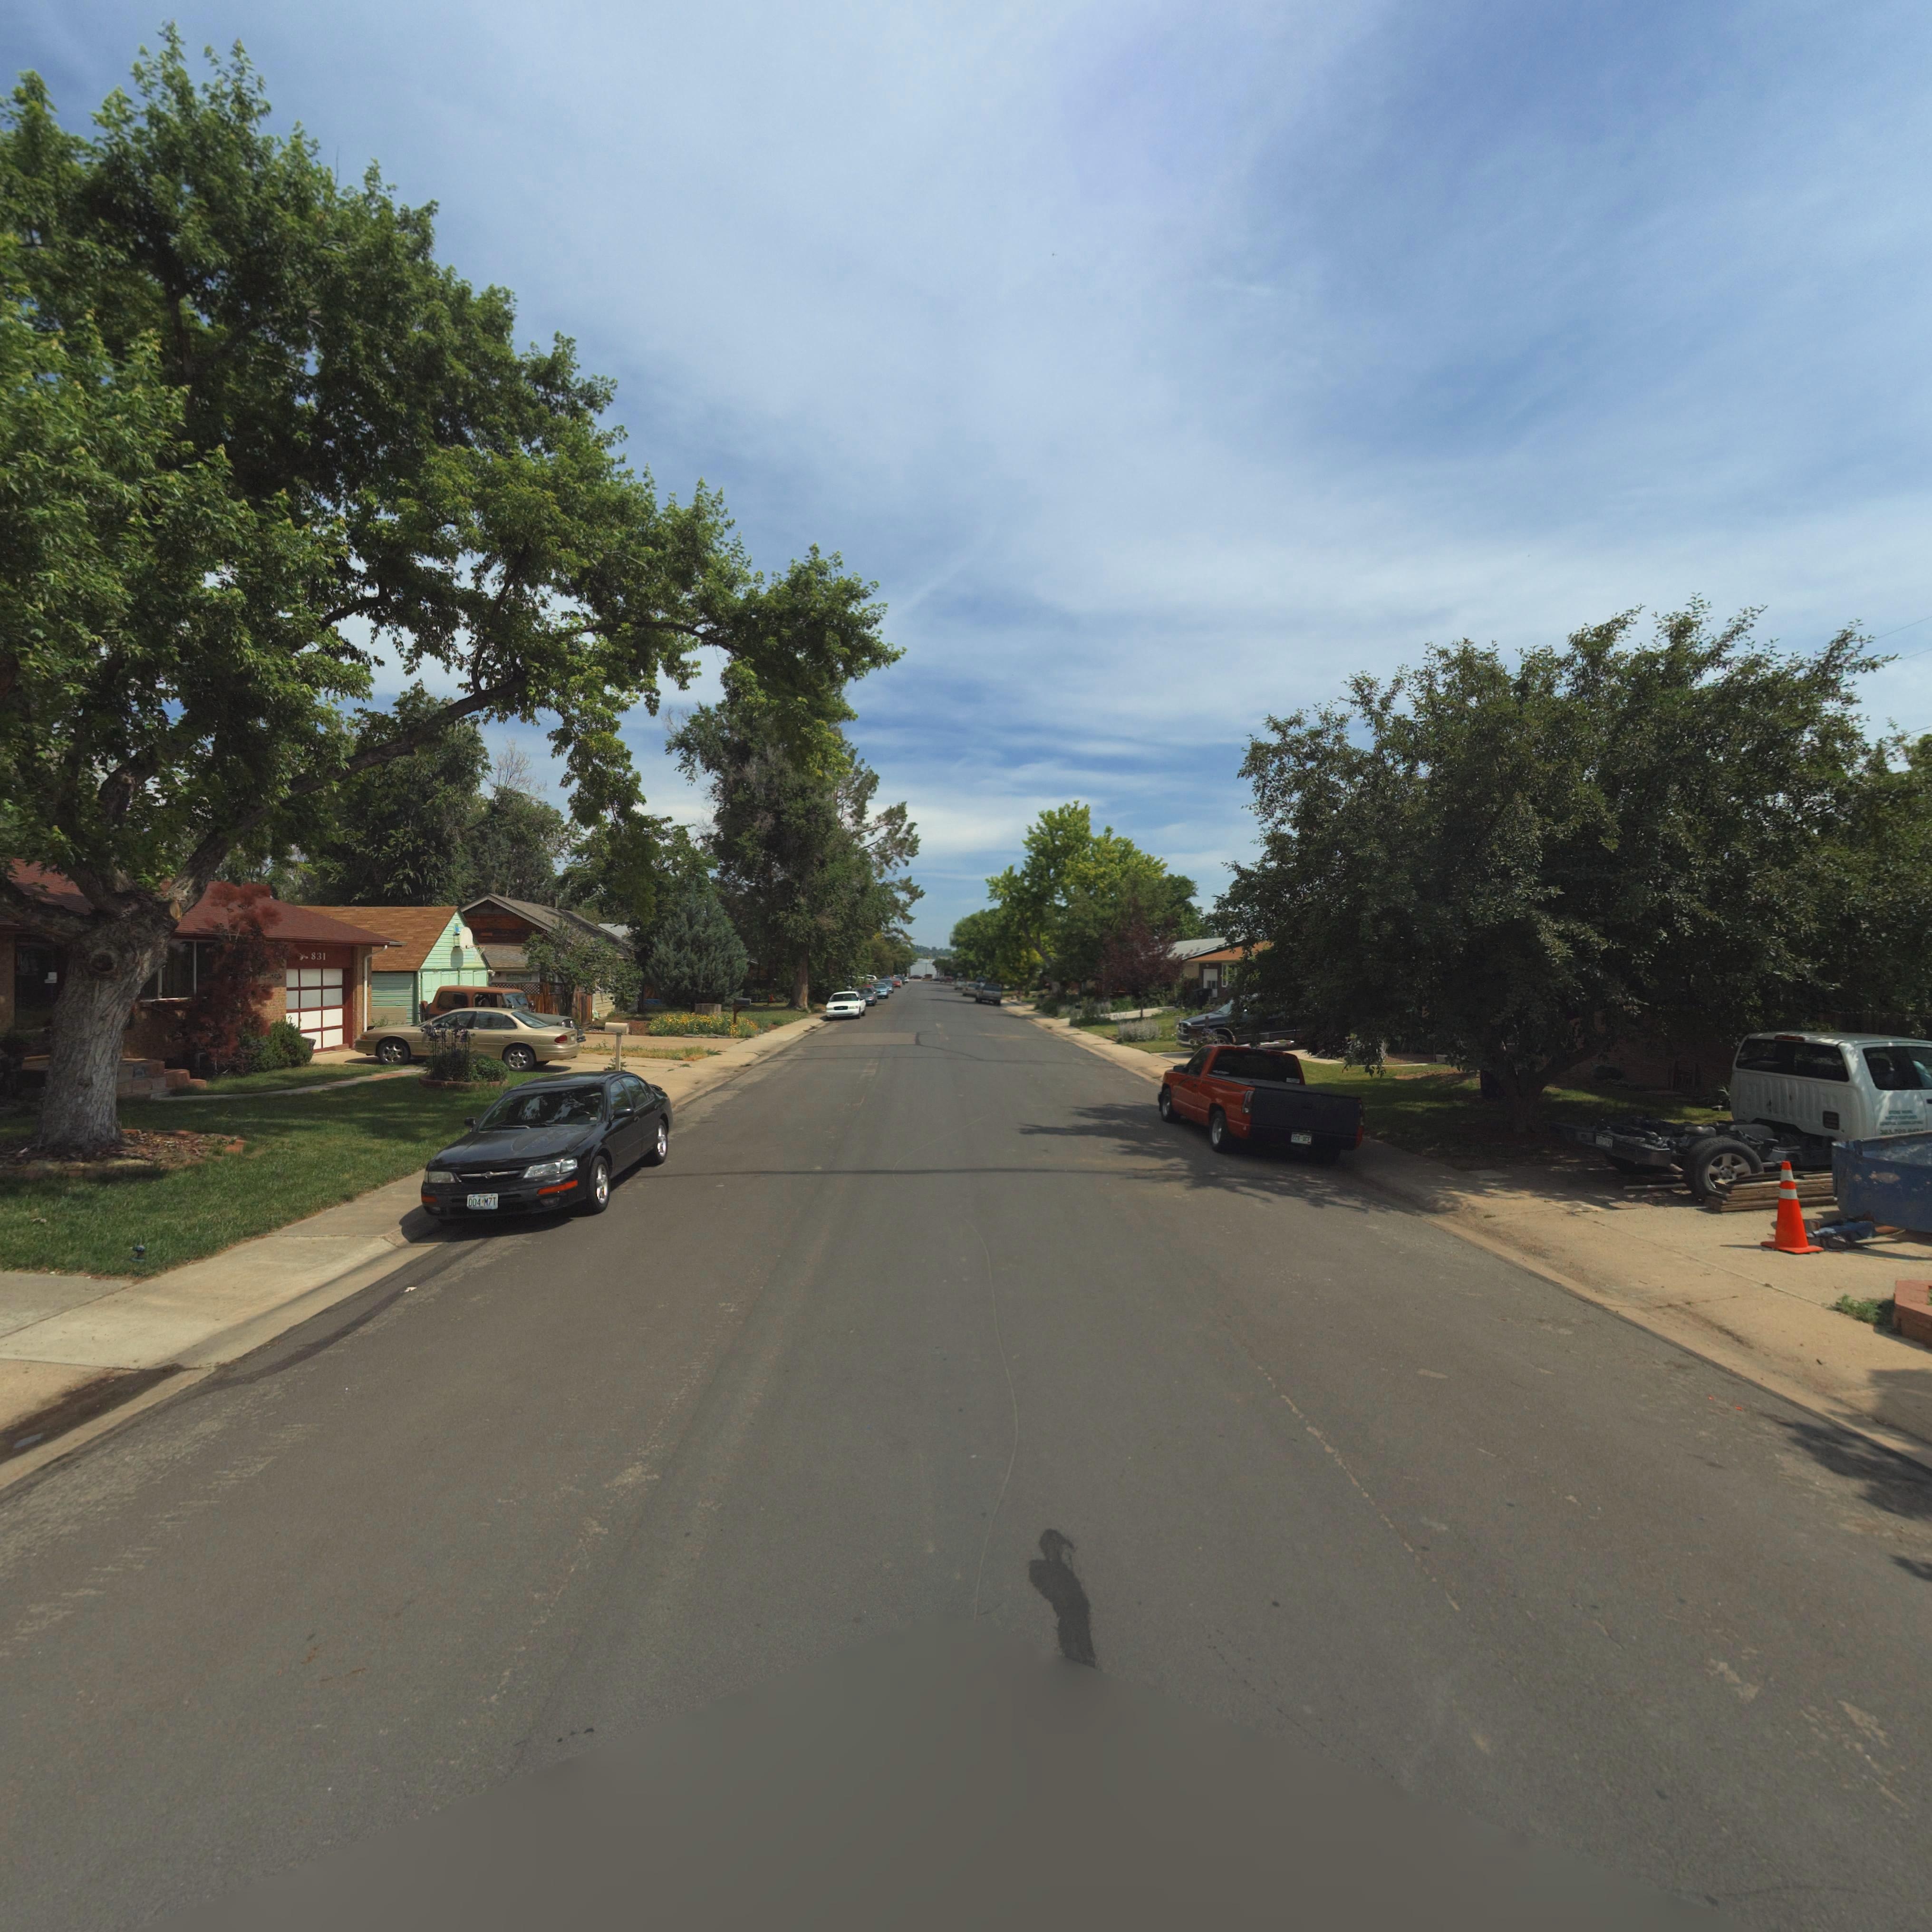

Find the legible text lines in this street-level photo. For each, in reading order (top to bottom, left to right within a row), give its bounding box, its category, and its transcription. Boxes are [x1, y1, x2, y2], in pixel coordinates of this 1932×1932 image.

[310, 952, 326, 960] StreetNumber: 831